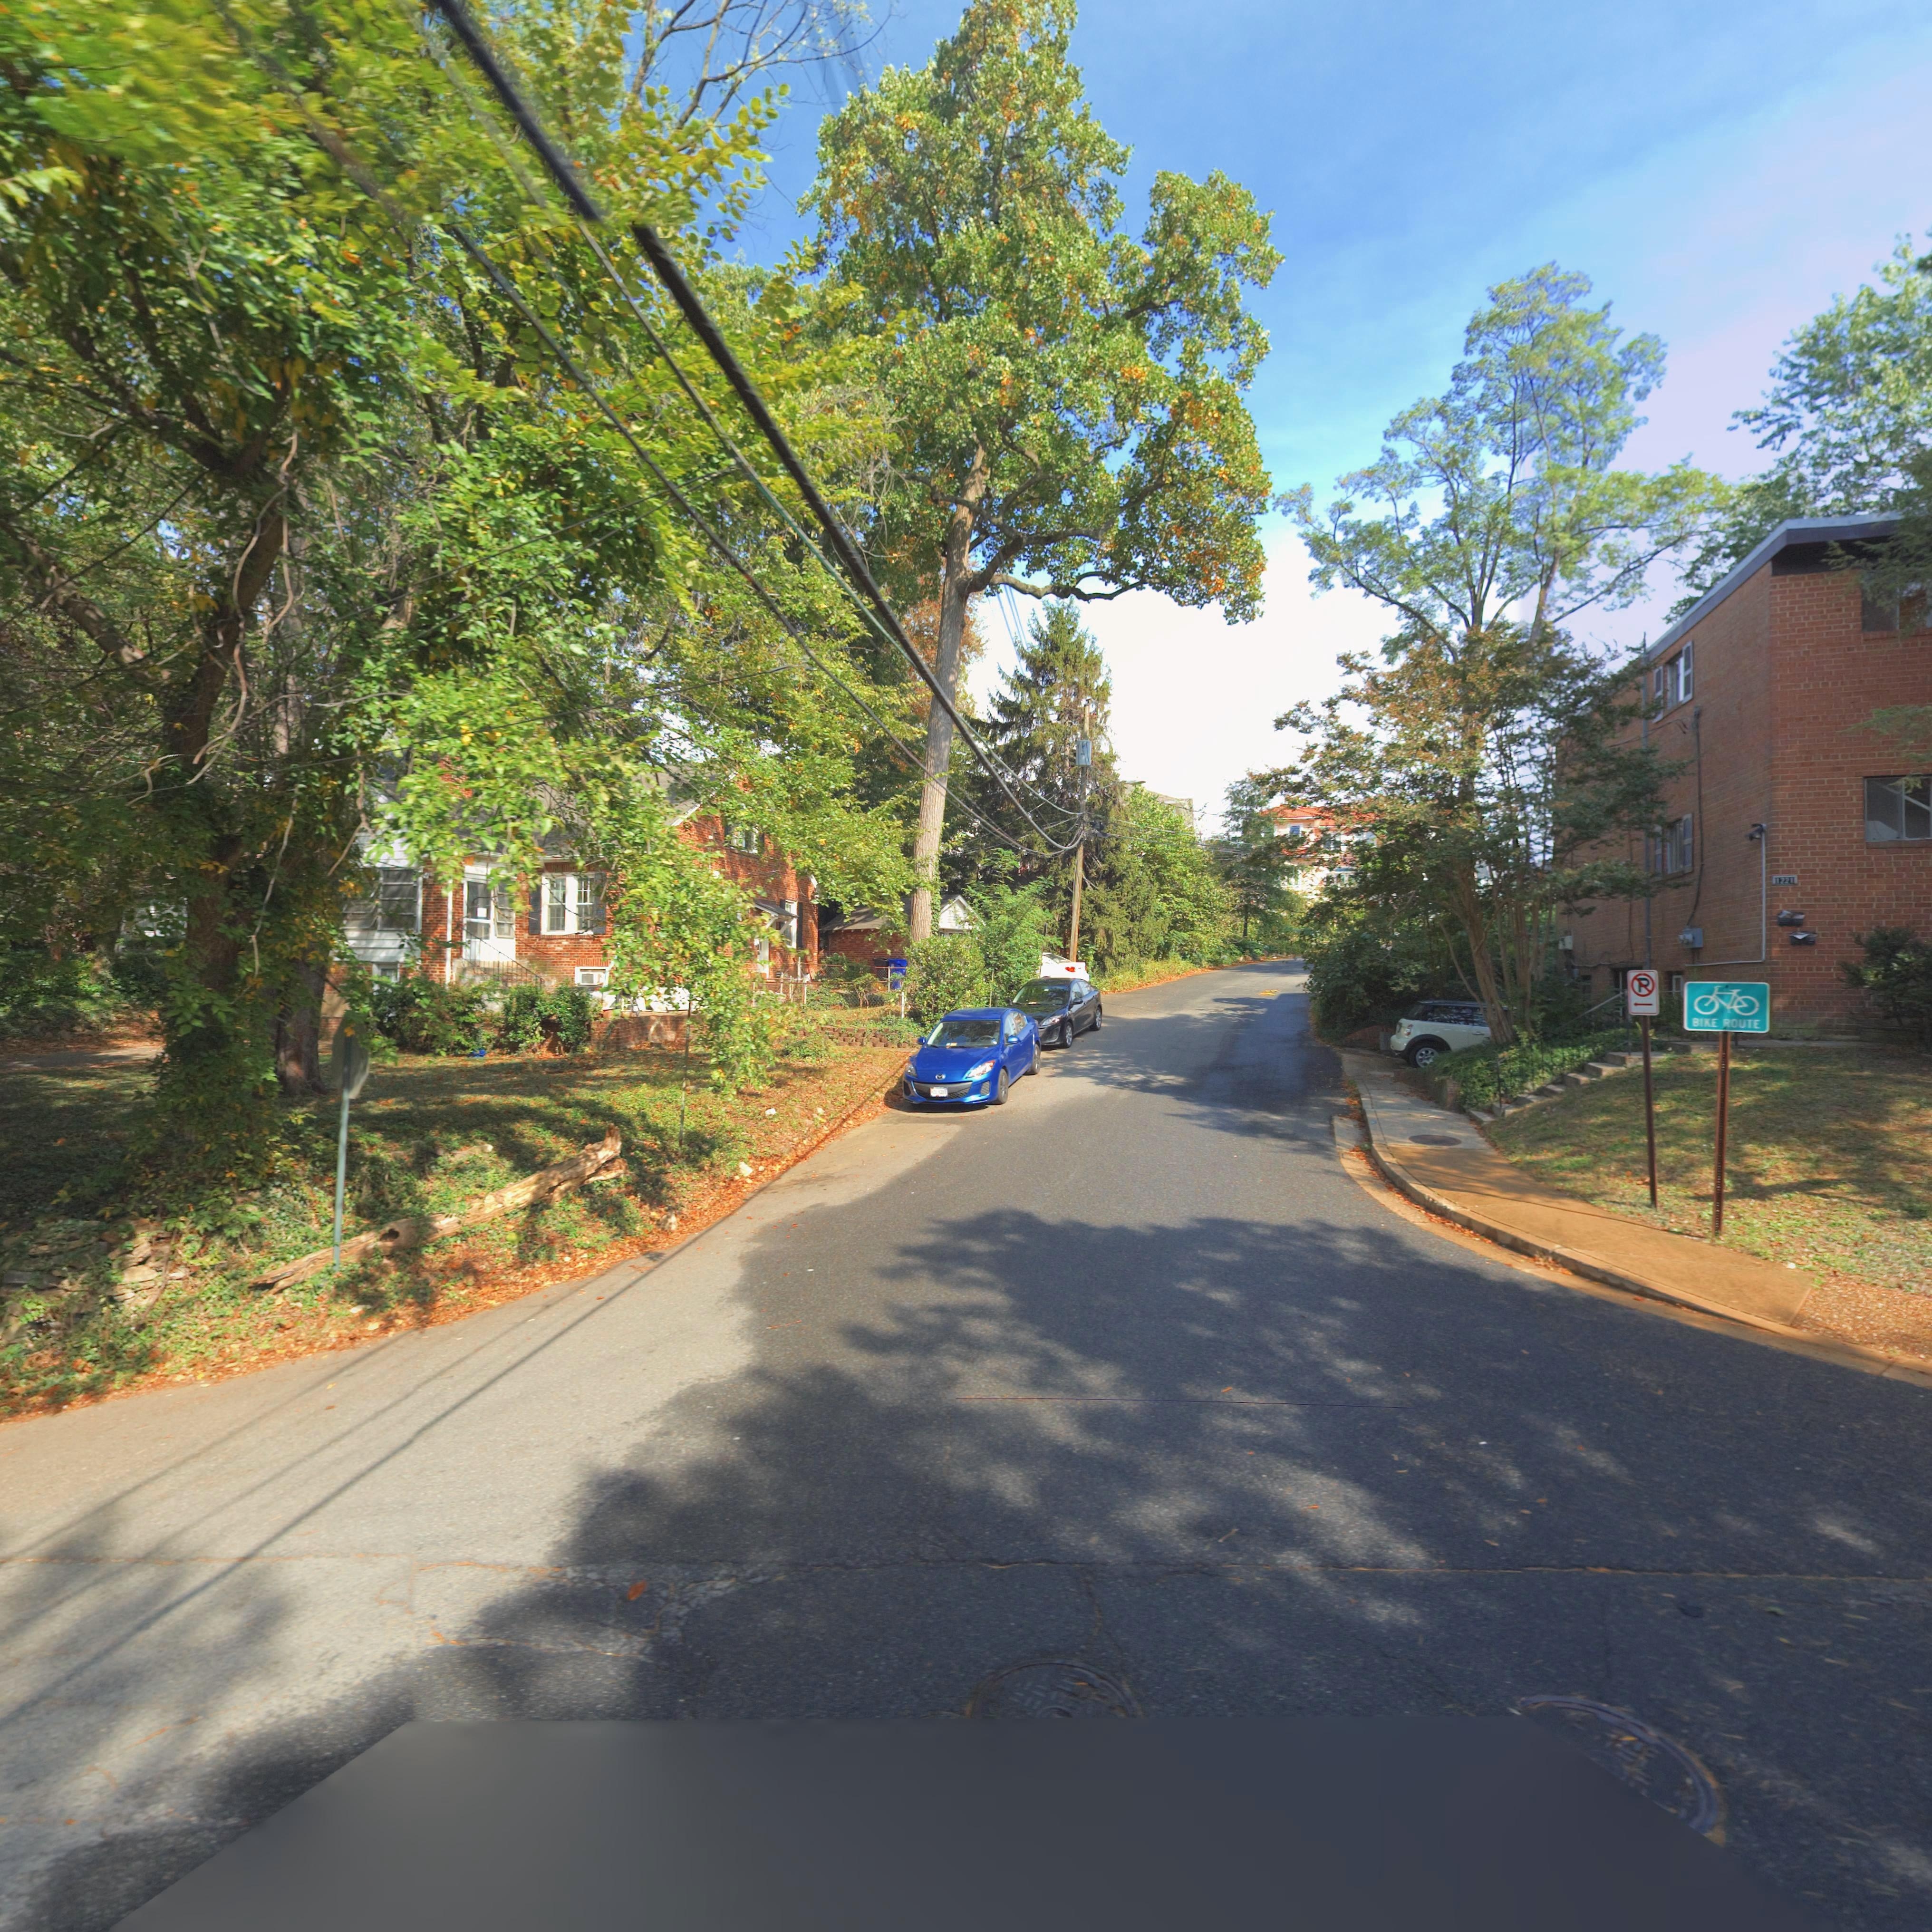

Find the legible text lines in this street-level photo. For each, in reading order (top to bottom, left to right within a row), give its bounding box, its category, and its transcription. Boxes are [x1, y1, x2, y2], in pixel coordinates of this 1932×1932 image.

[1776, 877, 1794, 885] StreetNumber: 1221
[1691, 1017, 1761, 1029] None: BIKE ROUTE